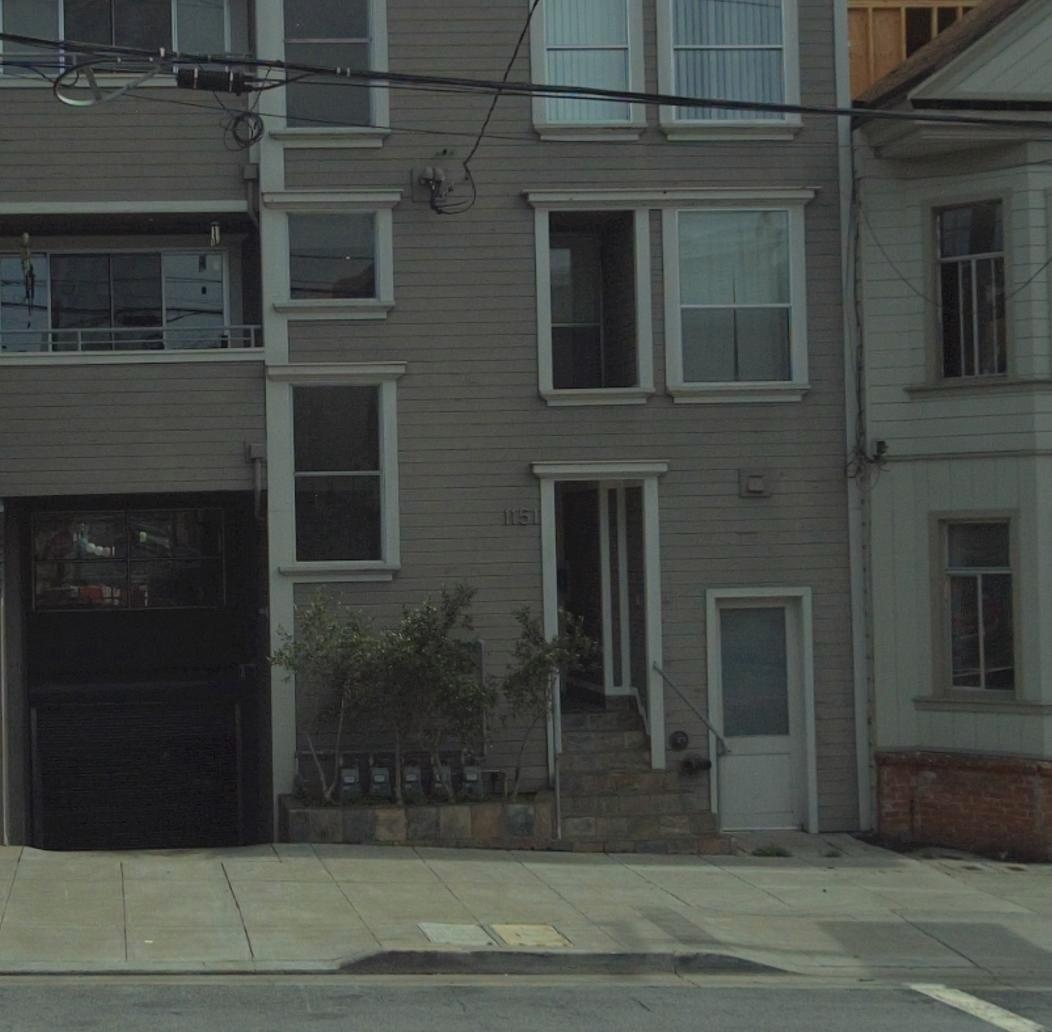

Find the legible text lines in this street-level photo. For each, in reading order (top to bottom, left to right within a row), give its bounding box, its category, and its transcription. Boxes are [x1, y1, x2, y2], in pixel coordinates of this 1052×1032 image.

[503, 506, 540, 526] StreetNumber: 1151